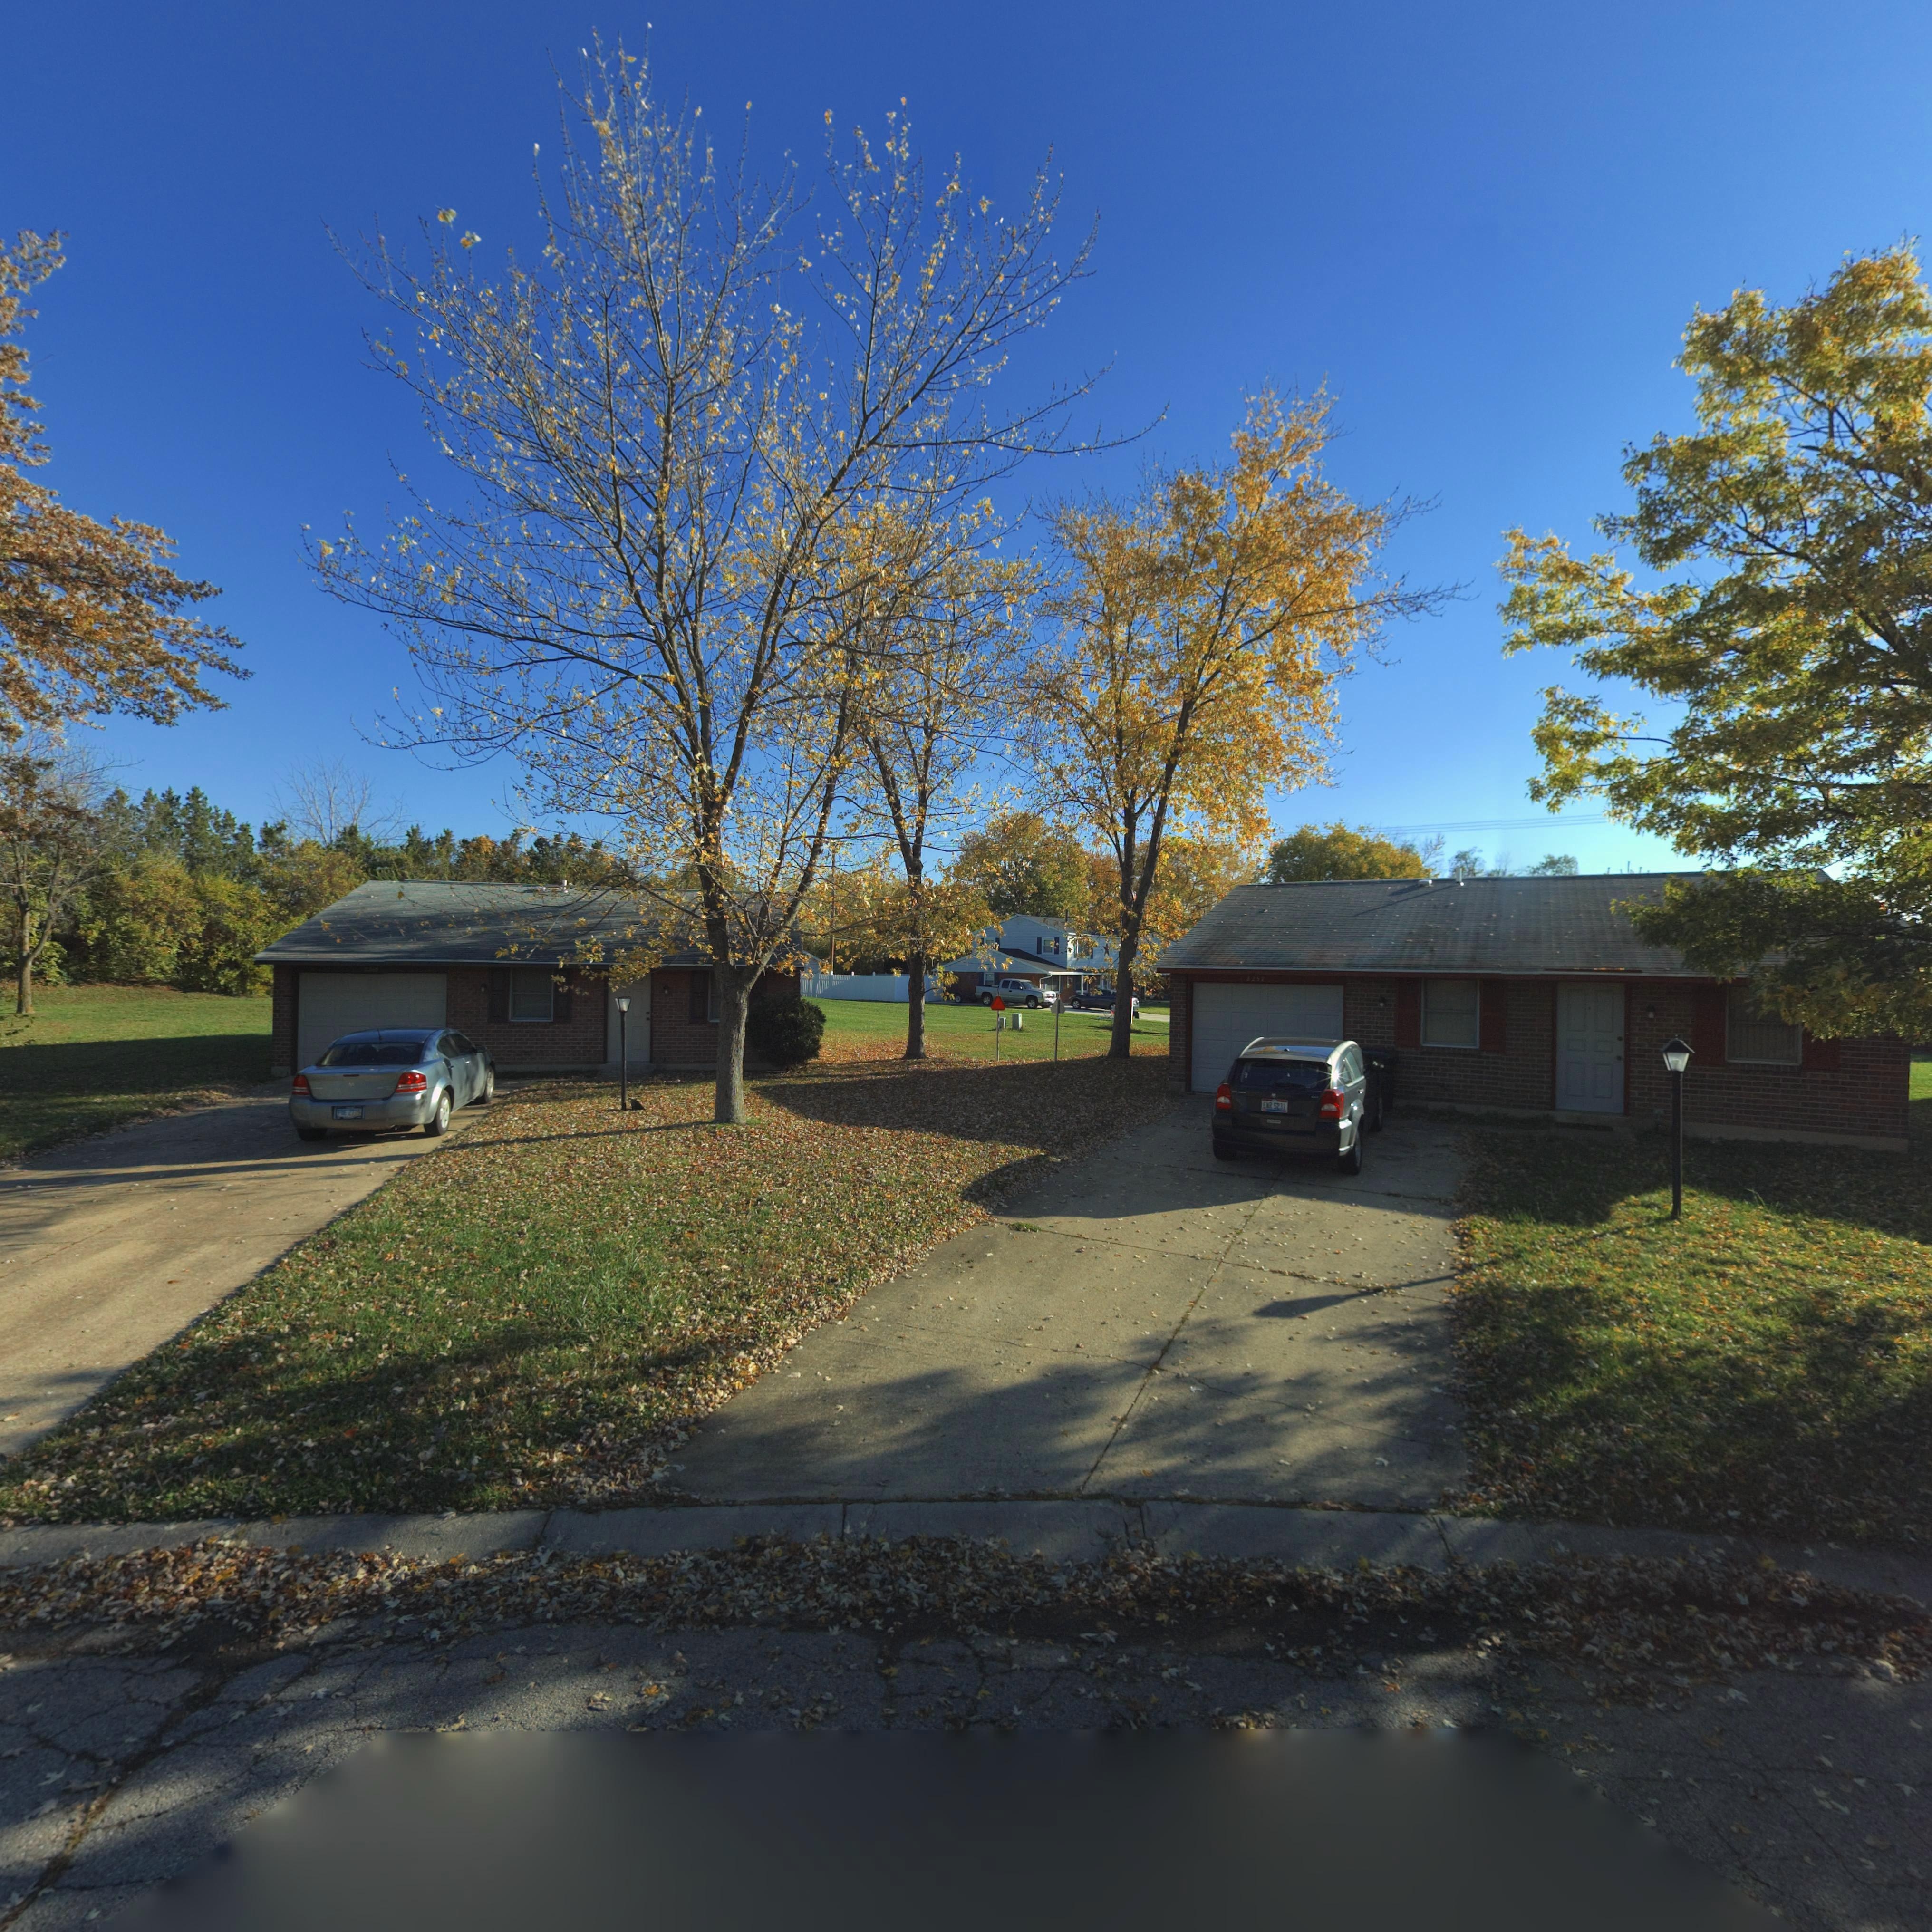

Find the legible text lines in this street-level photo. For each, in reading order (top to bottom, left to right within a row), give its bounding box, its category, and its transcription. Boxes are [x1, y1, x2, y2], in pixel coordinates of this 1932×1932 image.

[1246, 976, 1265, 982] StreetNumber: 8257